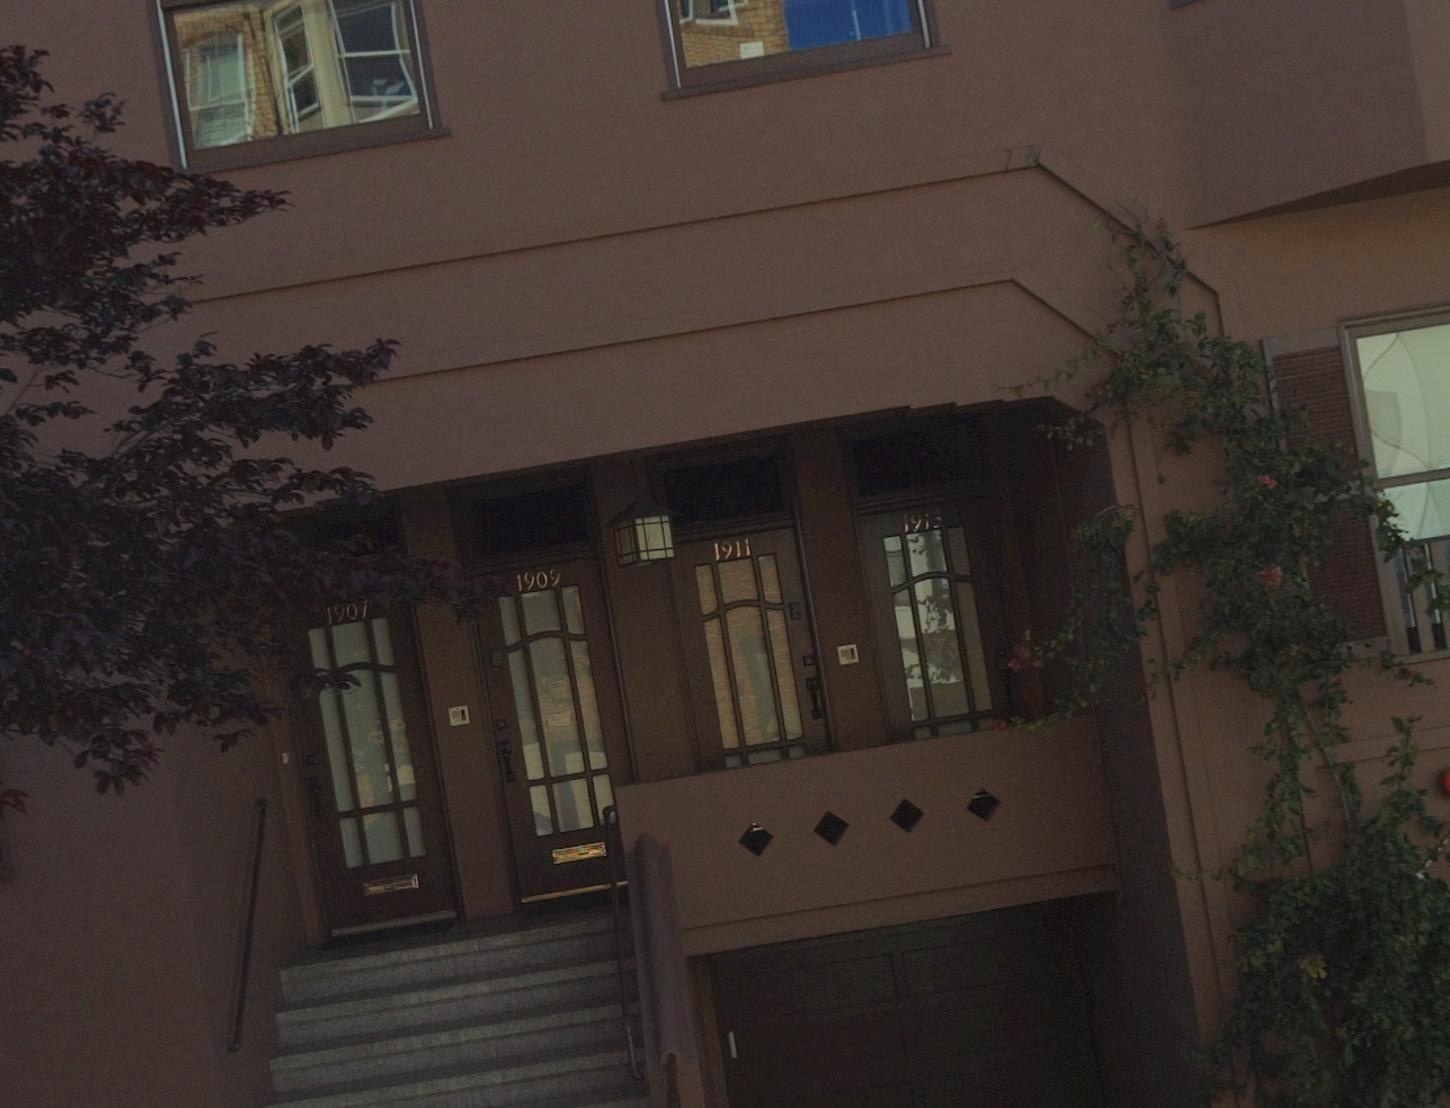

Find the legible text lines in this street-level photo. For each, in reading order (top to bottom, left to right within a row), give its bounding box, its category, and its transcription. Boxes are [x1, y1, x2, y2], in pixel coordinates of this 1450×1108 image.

[901, 506, 945, 535] StreetNumber: 1913
[711, 535, 755, 564] StreetNumber: 1911
[513, 567, 562, 595] StreetNumber: 1909
[325, 597, 371, 626] StreetNumber: 190*